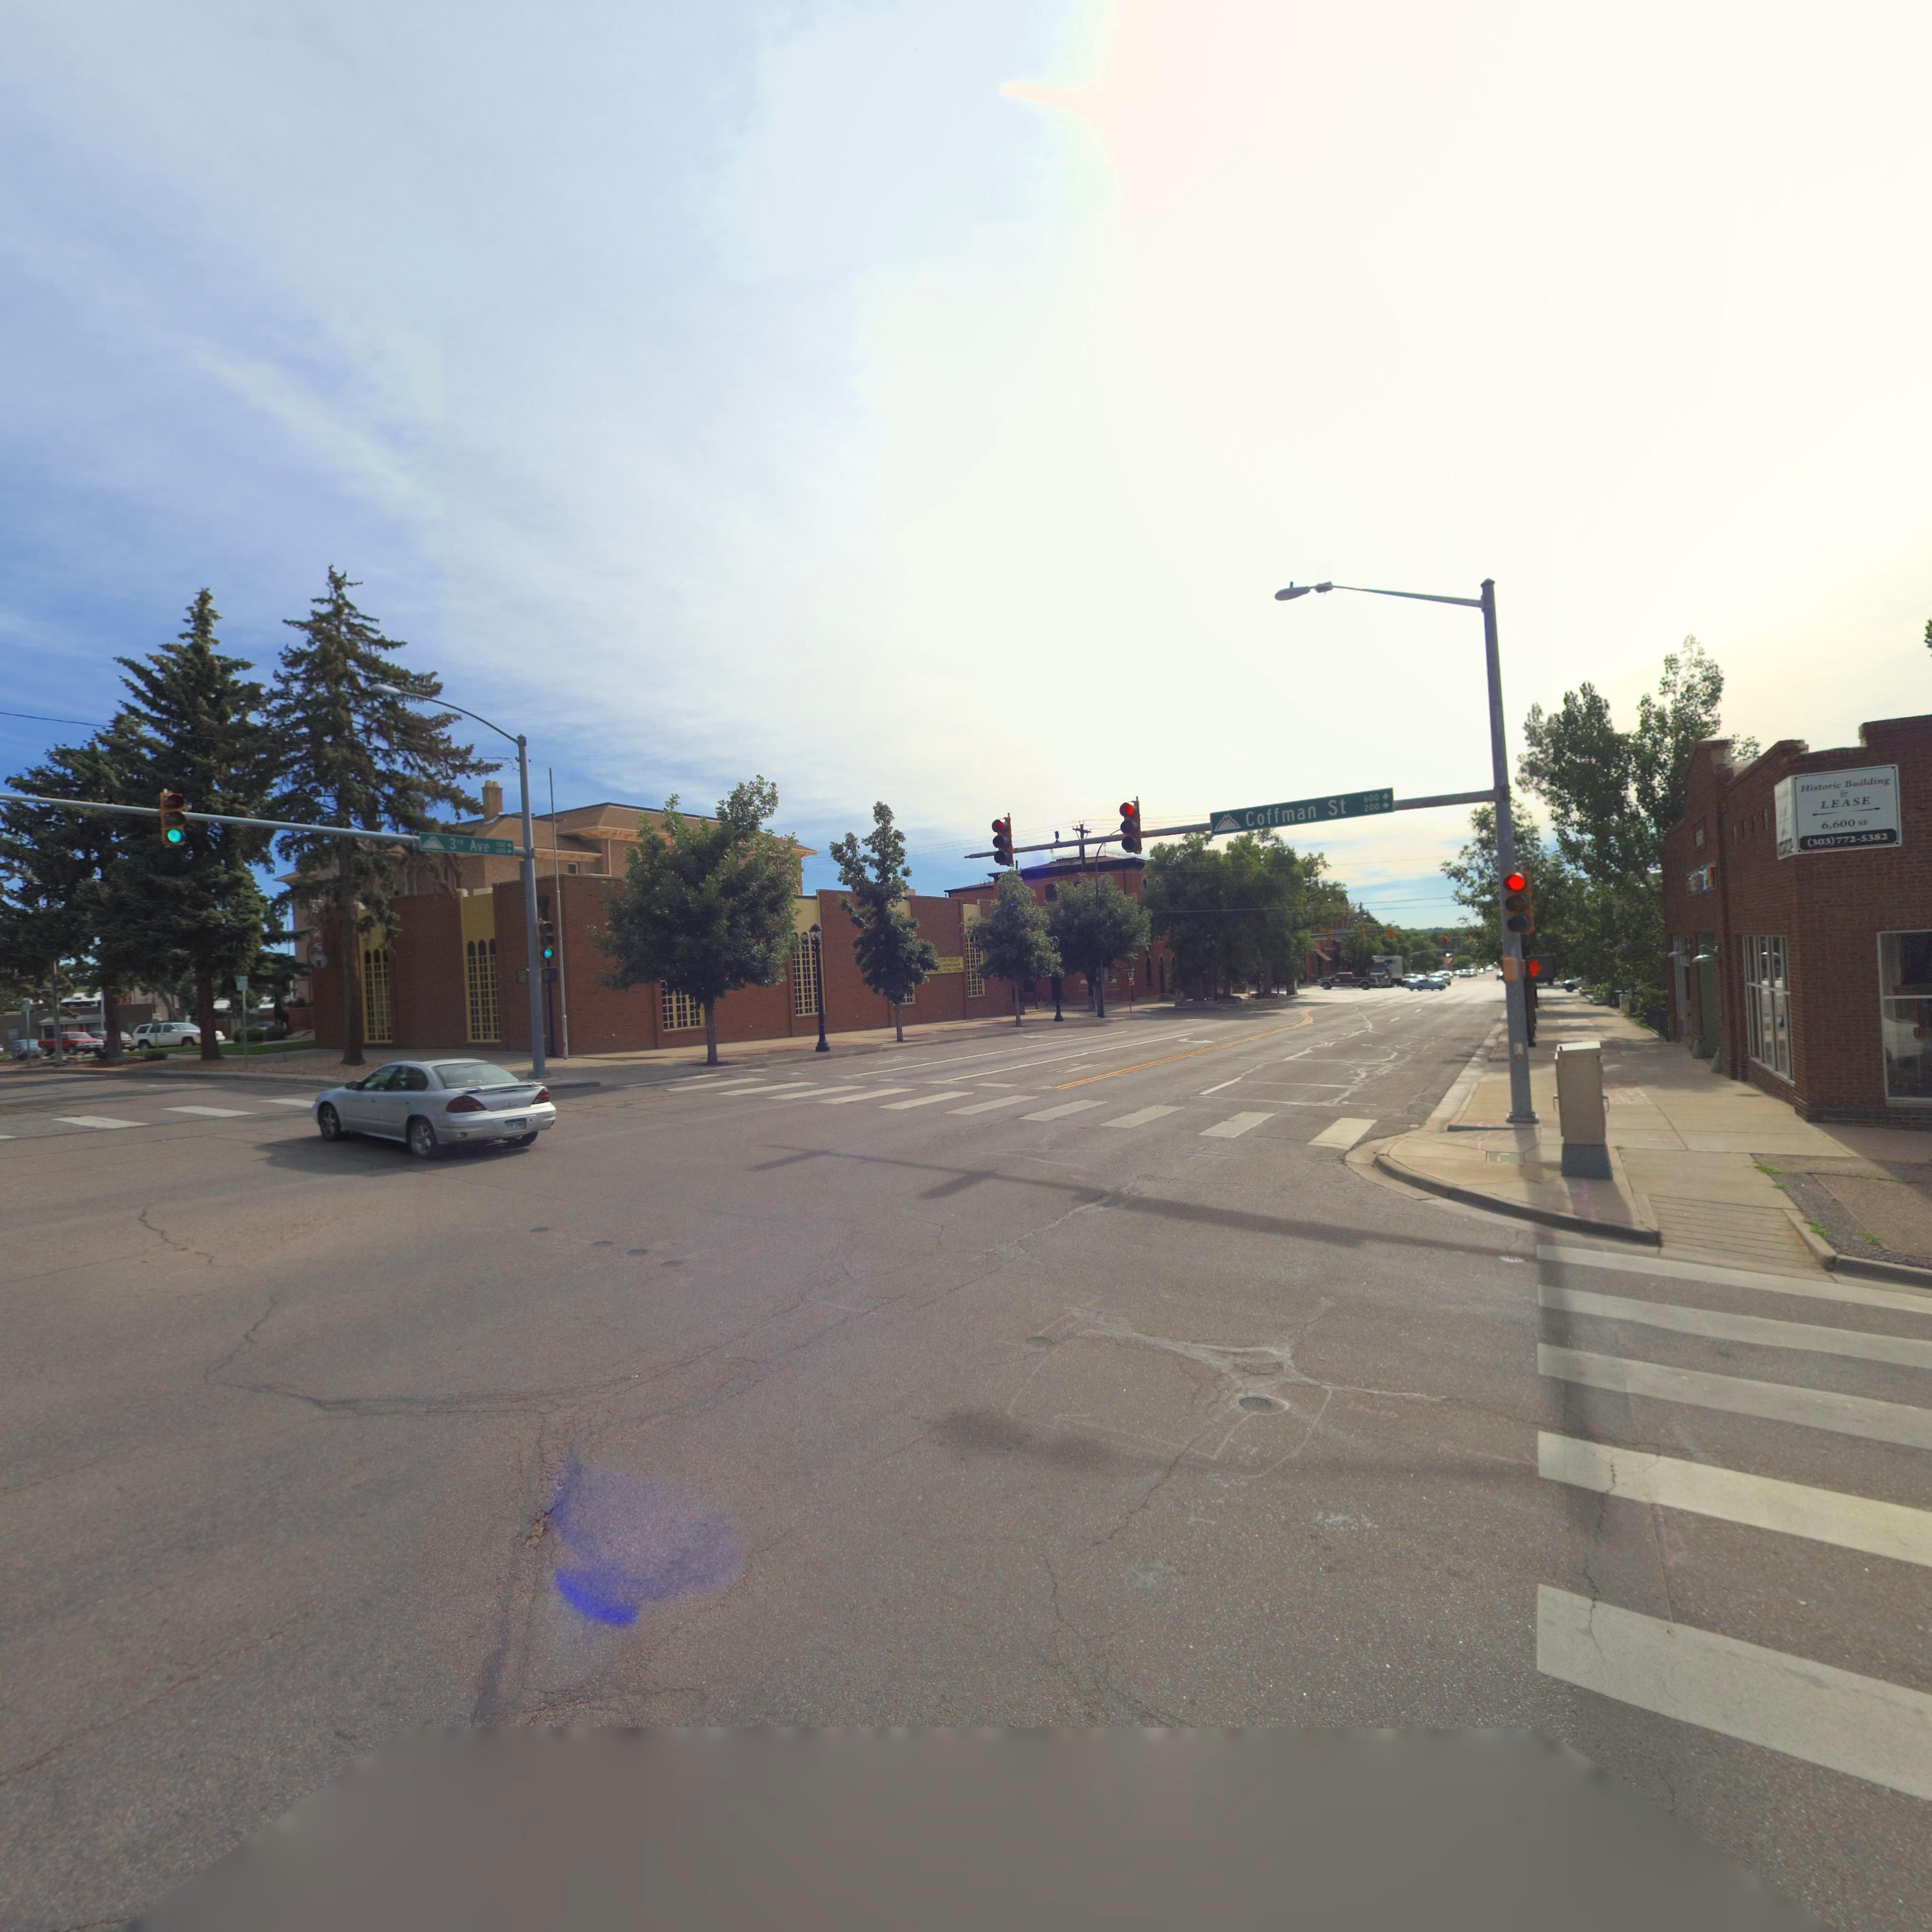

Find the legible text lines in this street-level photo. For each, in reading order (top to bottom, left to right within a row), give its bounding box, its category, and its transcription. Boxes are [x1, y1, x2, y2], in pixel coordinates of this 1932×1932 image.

[1364, 794, 1379, 802] StreetNumber: 600
[1245, 798, 1347, 826] StreetName: Coffman St
[1363, 802, 1391, 812] StreetNumberRange: 200 ->
[448, 837, 492, 853] StreetName: 3rd Ave
[495, 840, 506, 847] StreetNumber: 300
[495, 847, 512, 853] StreetNumberRange: 600->